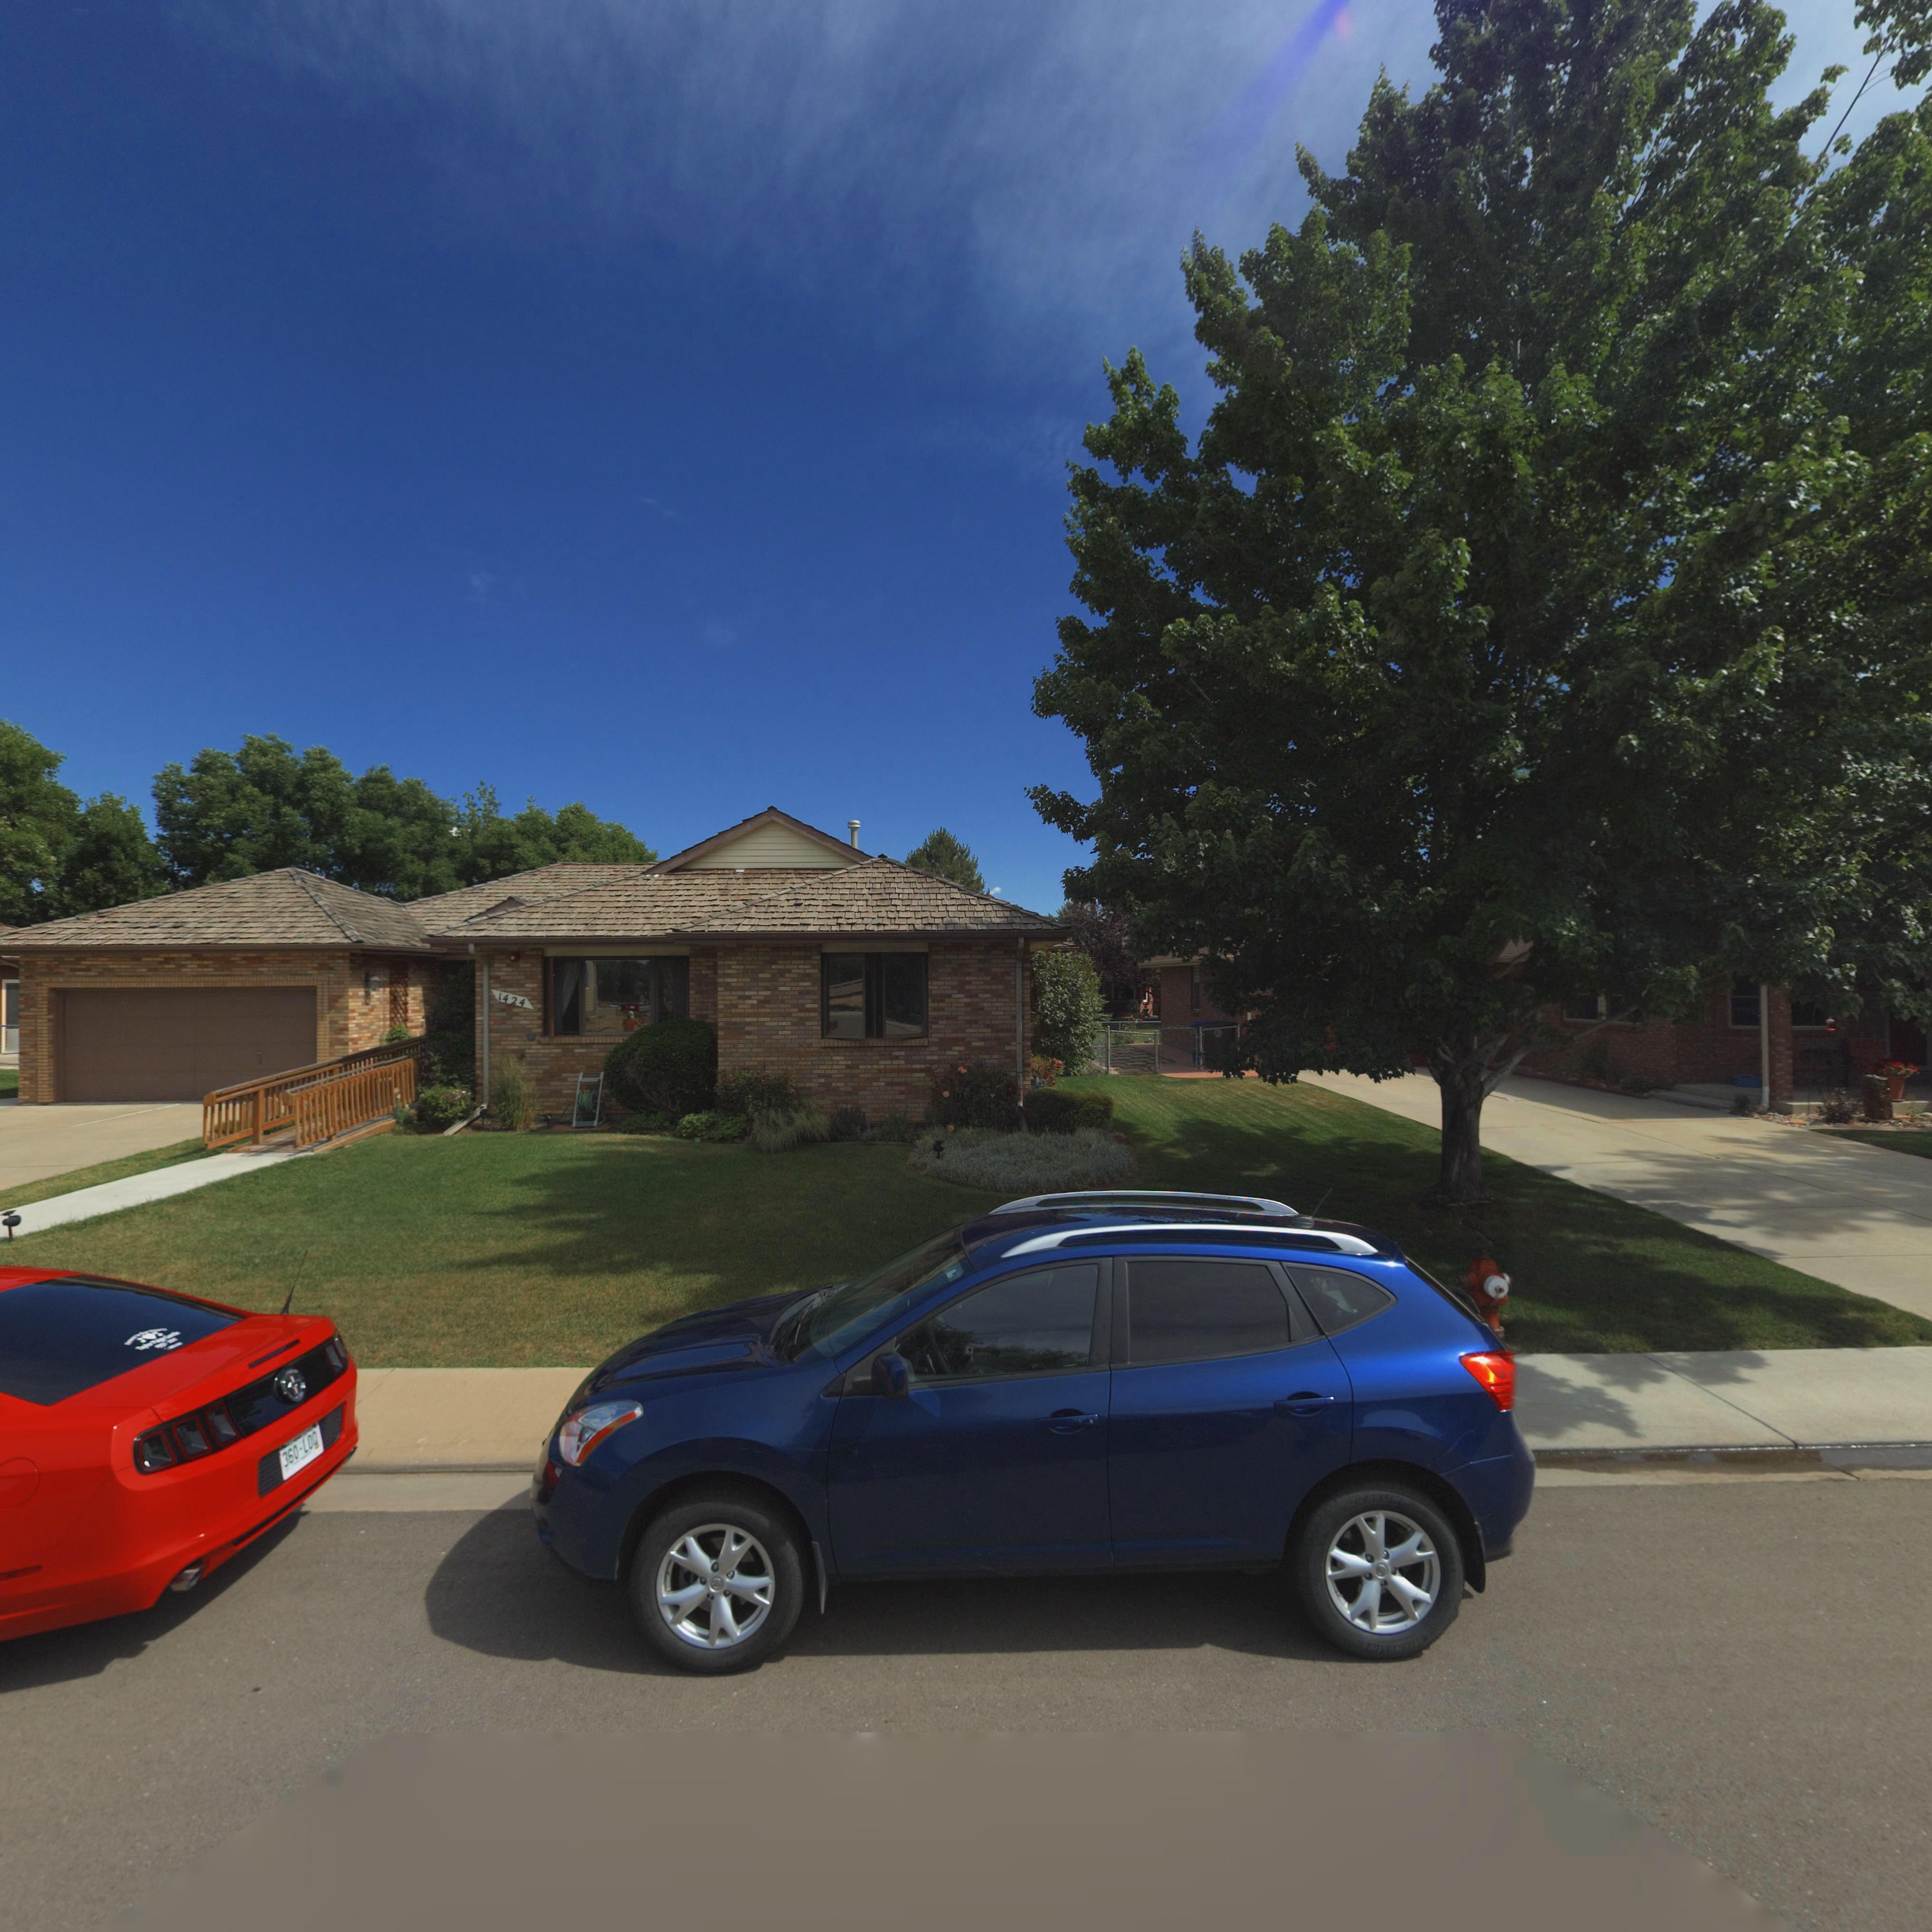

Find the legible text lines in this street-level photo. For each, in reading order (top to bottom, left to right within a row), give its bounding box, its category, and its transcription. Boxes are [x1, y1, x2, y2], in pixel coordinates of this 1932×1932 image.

[498, 992, 526, 1006] StreetNumber: 1424